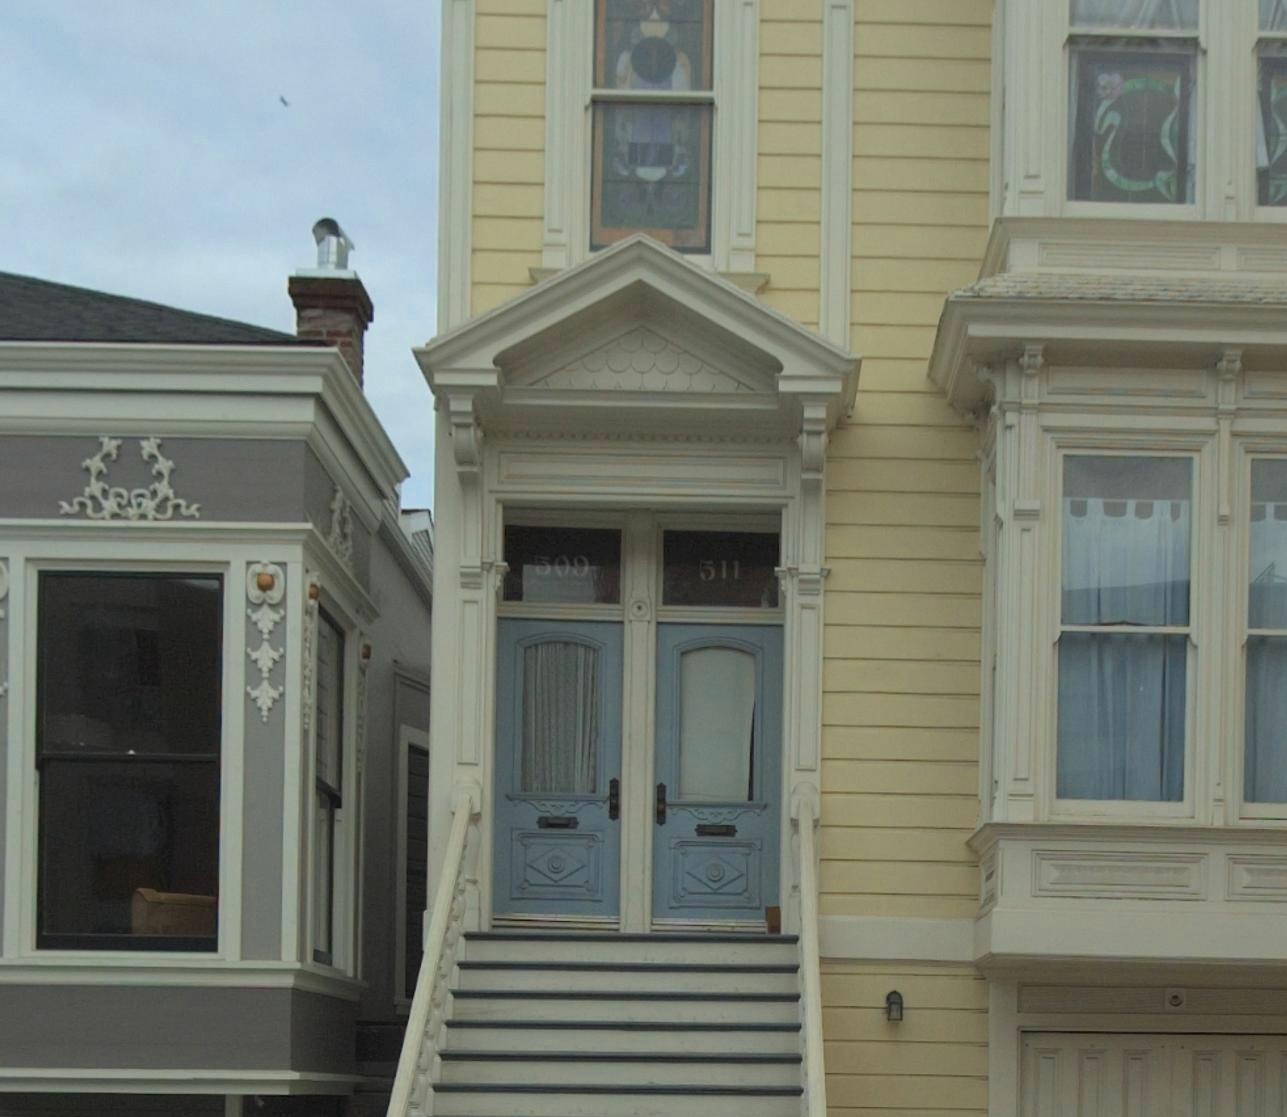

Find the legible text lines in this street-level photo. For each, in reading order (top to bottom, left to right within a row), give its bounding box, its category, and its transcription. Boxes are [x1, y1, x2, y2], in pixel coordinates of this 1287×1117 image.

[532, 553, 591, 578] StreetNumber: 509
[697, 559, 741, 582] StreetNumber: 511